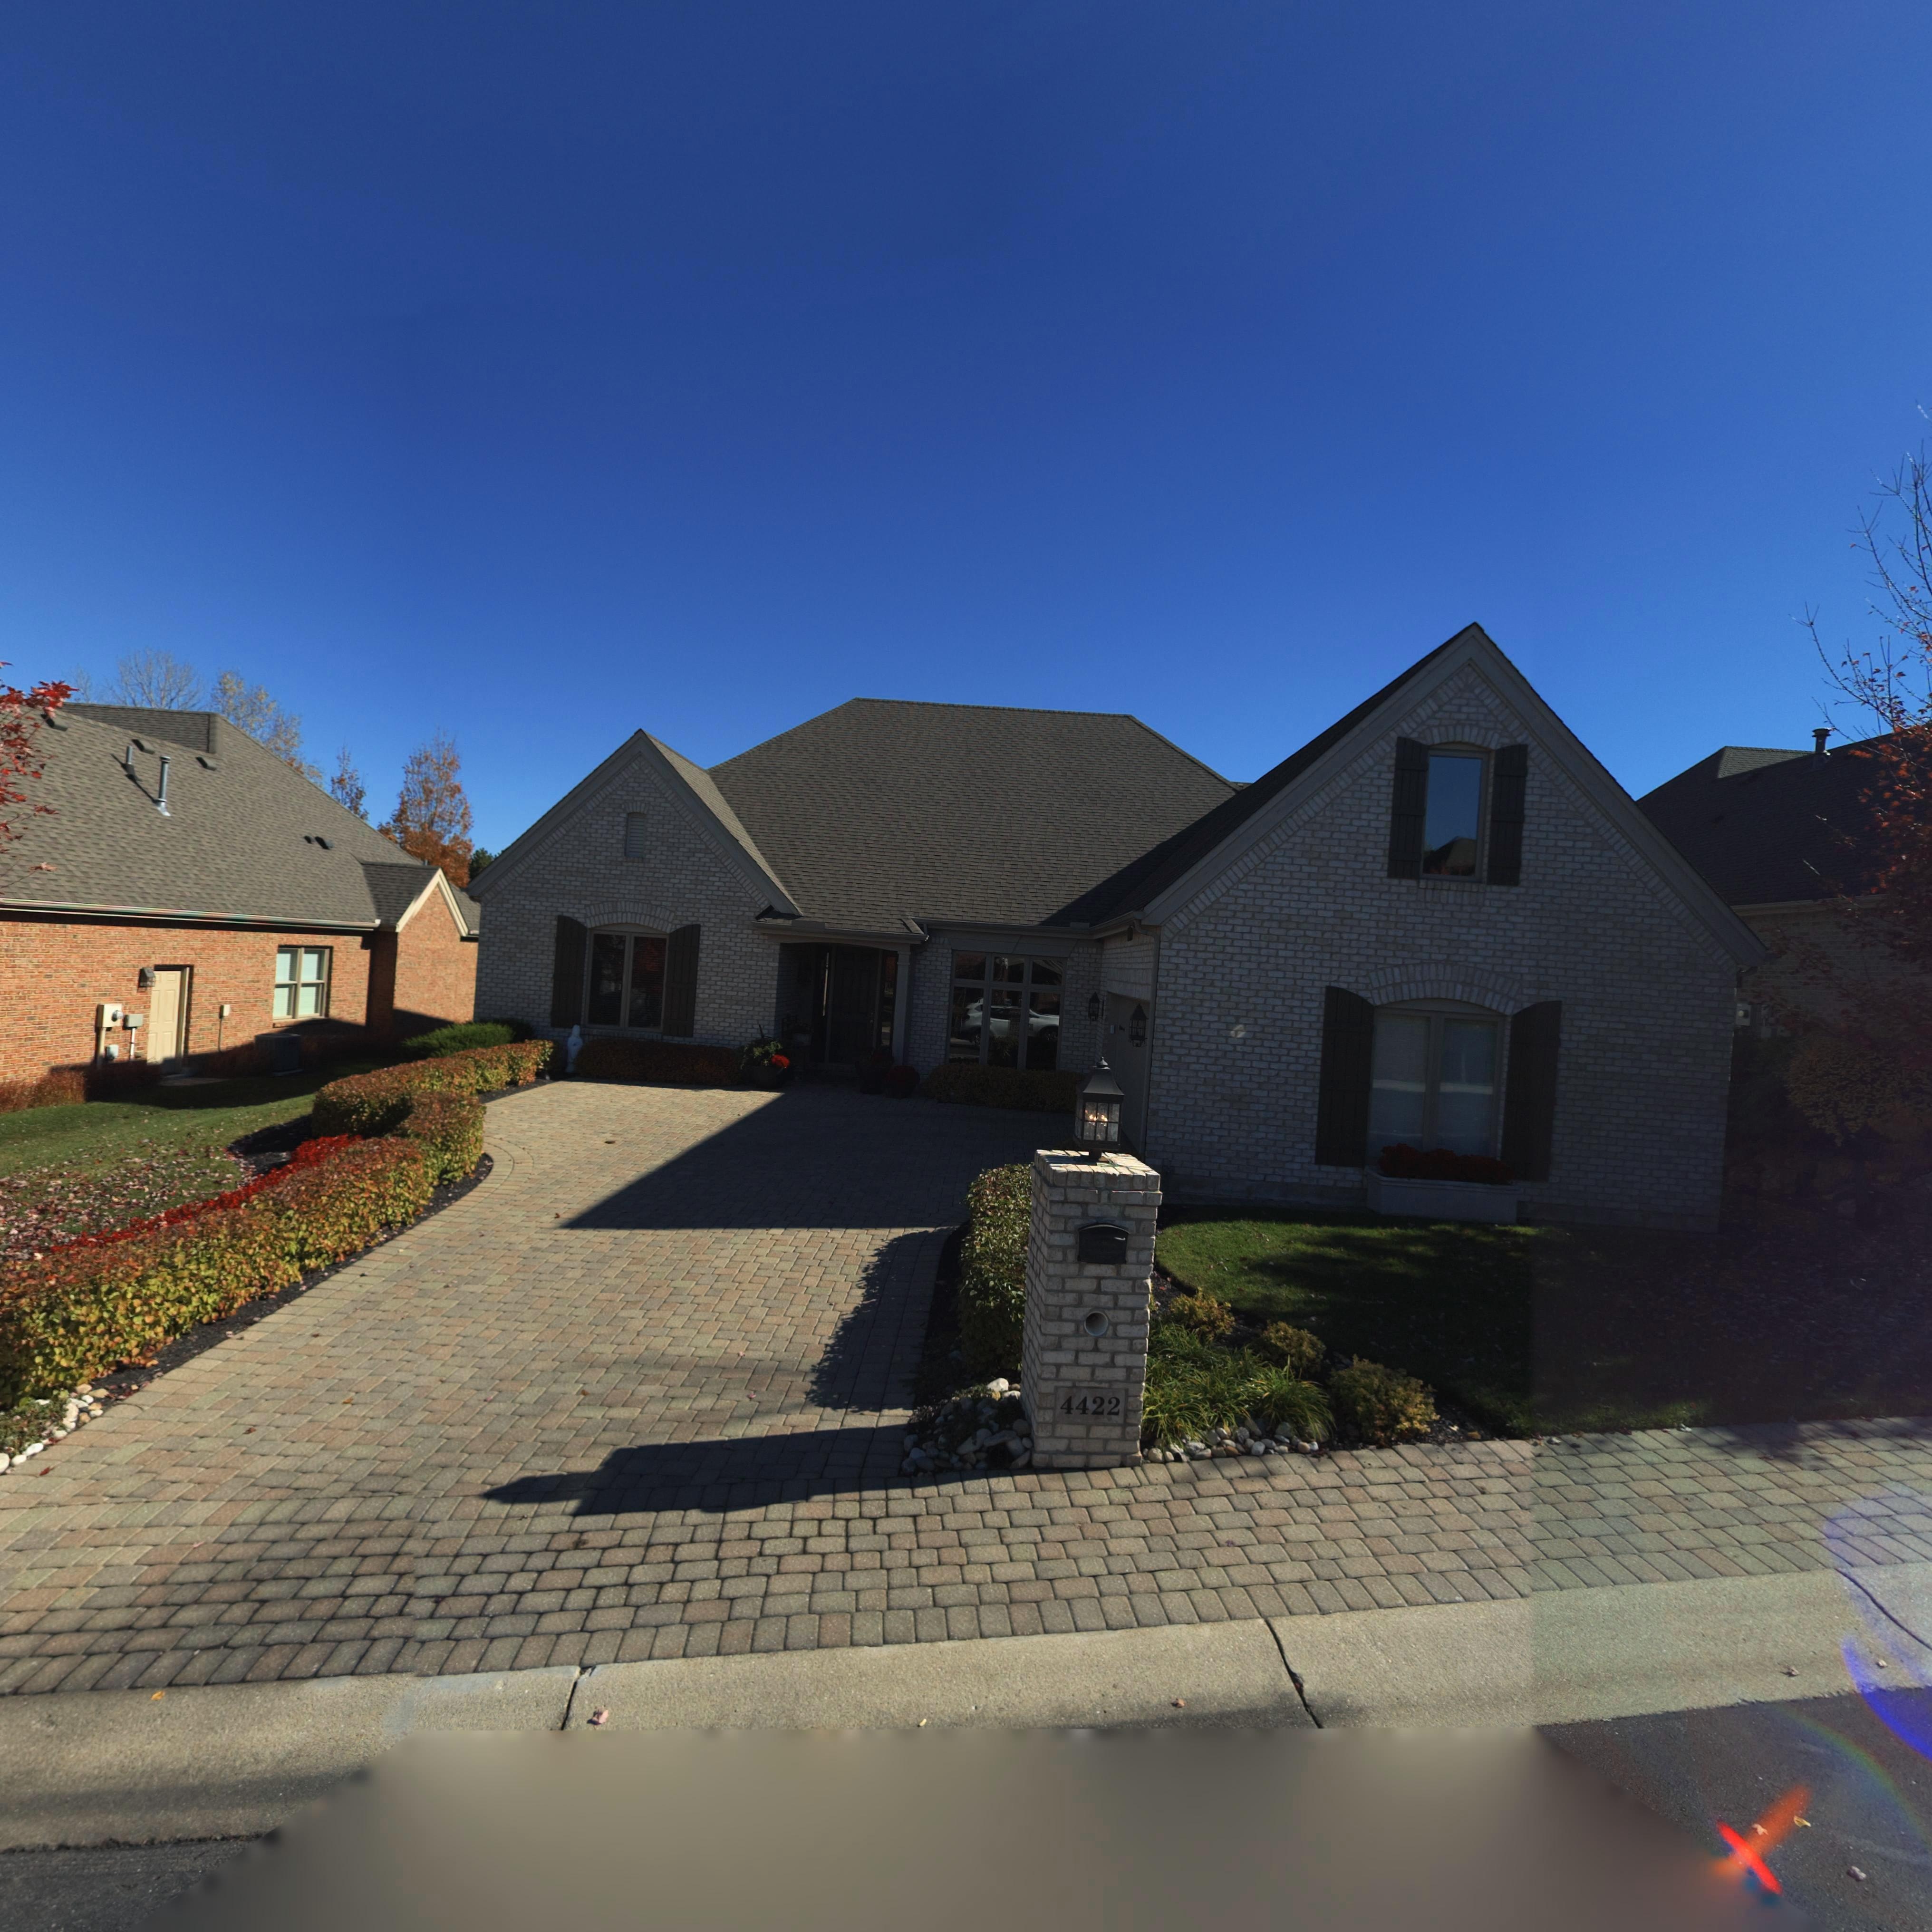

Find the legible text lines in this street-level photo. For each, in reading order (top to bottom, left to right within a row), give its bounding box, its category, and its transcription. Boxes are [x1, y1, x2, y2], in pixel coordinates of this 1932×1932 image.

[1058, 1392, 1124, 1418] StreetNumber: 4422